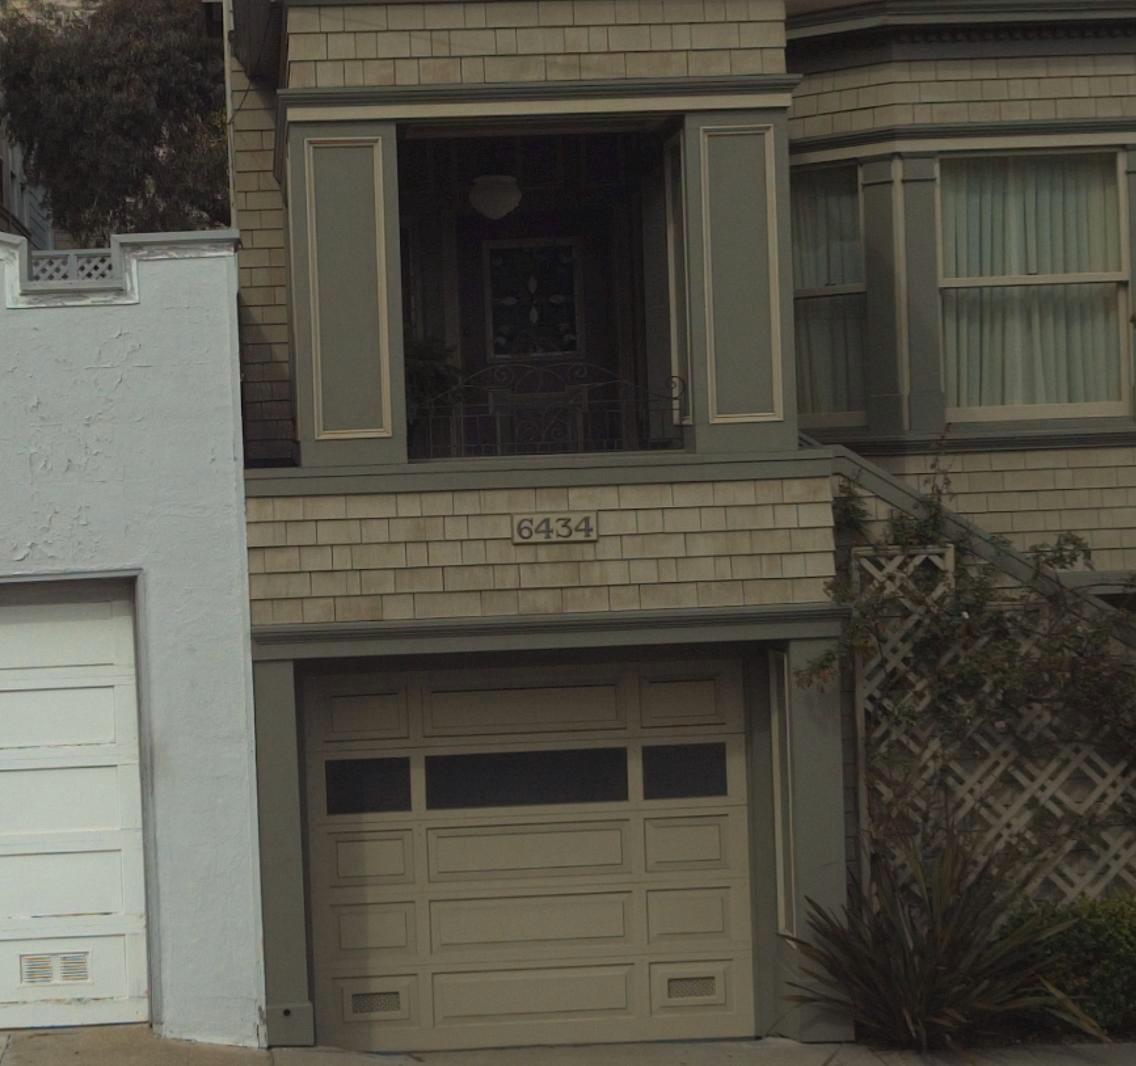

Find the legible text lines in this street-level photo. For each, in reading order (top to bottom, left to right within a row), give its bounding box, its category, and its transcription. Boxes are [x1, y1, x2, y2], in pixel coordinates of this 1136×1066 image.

[516, 515, 595, 541] StreetNumber: 6434